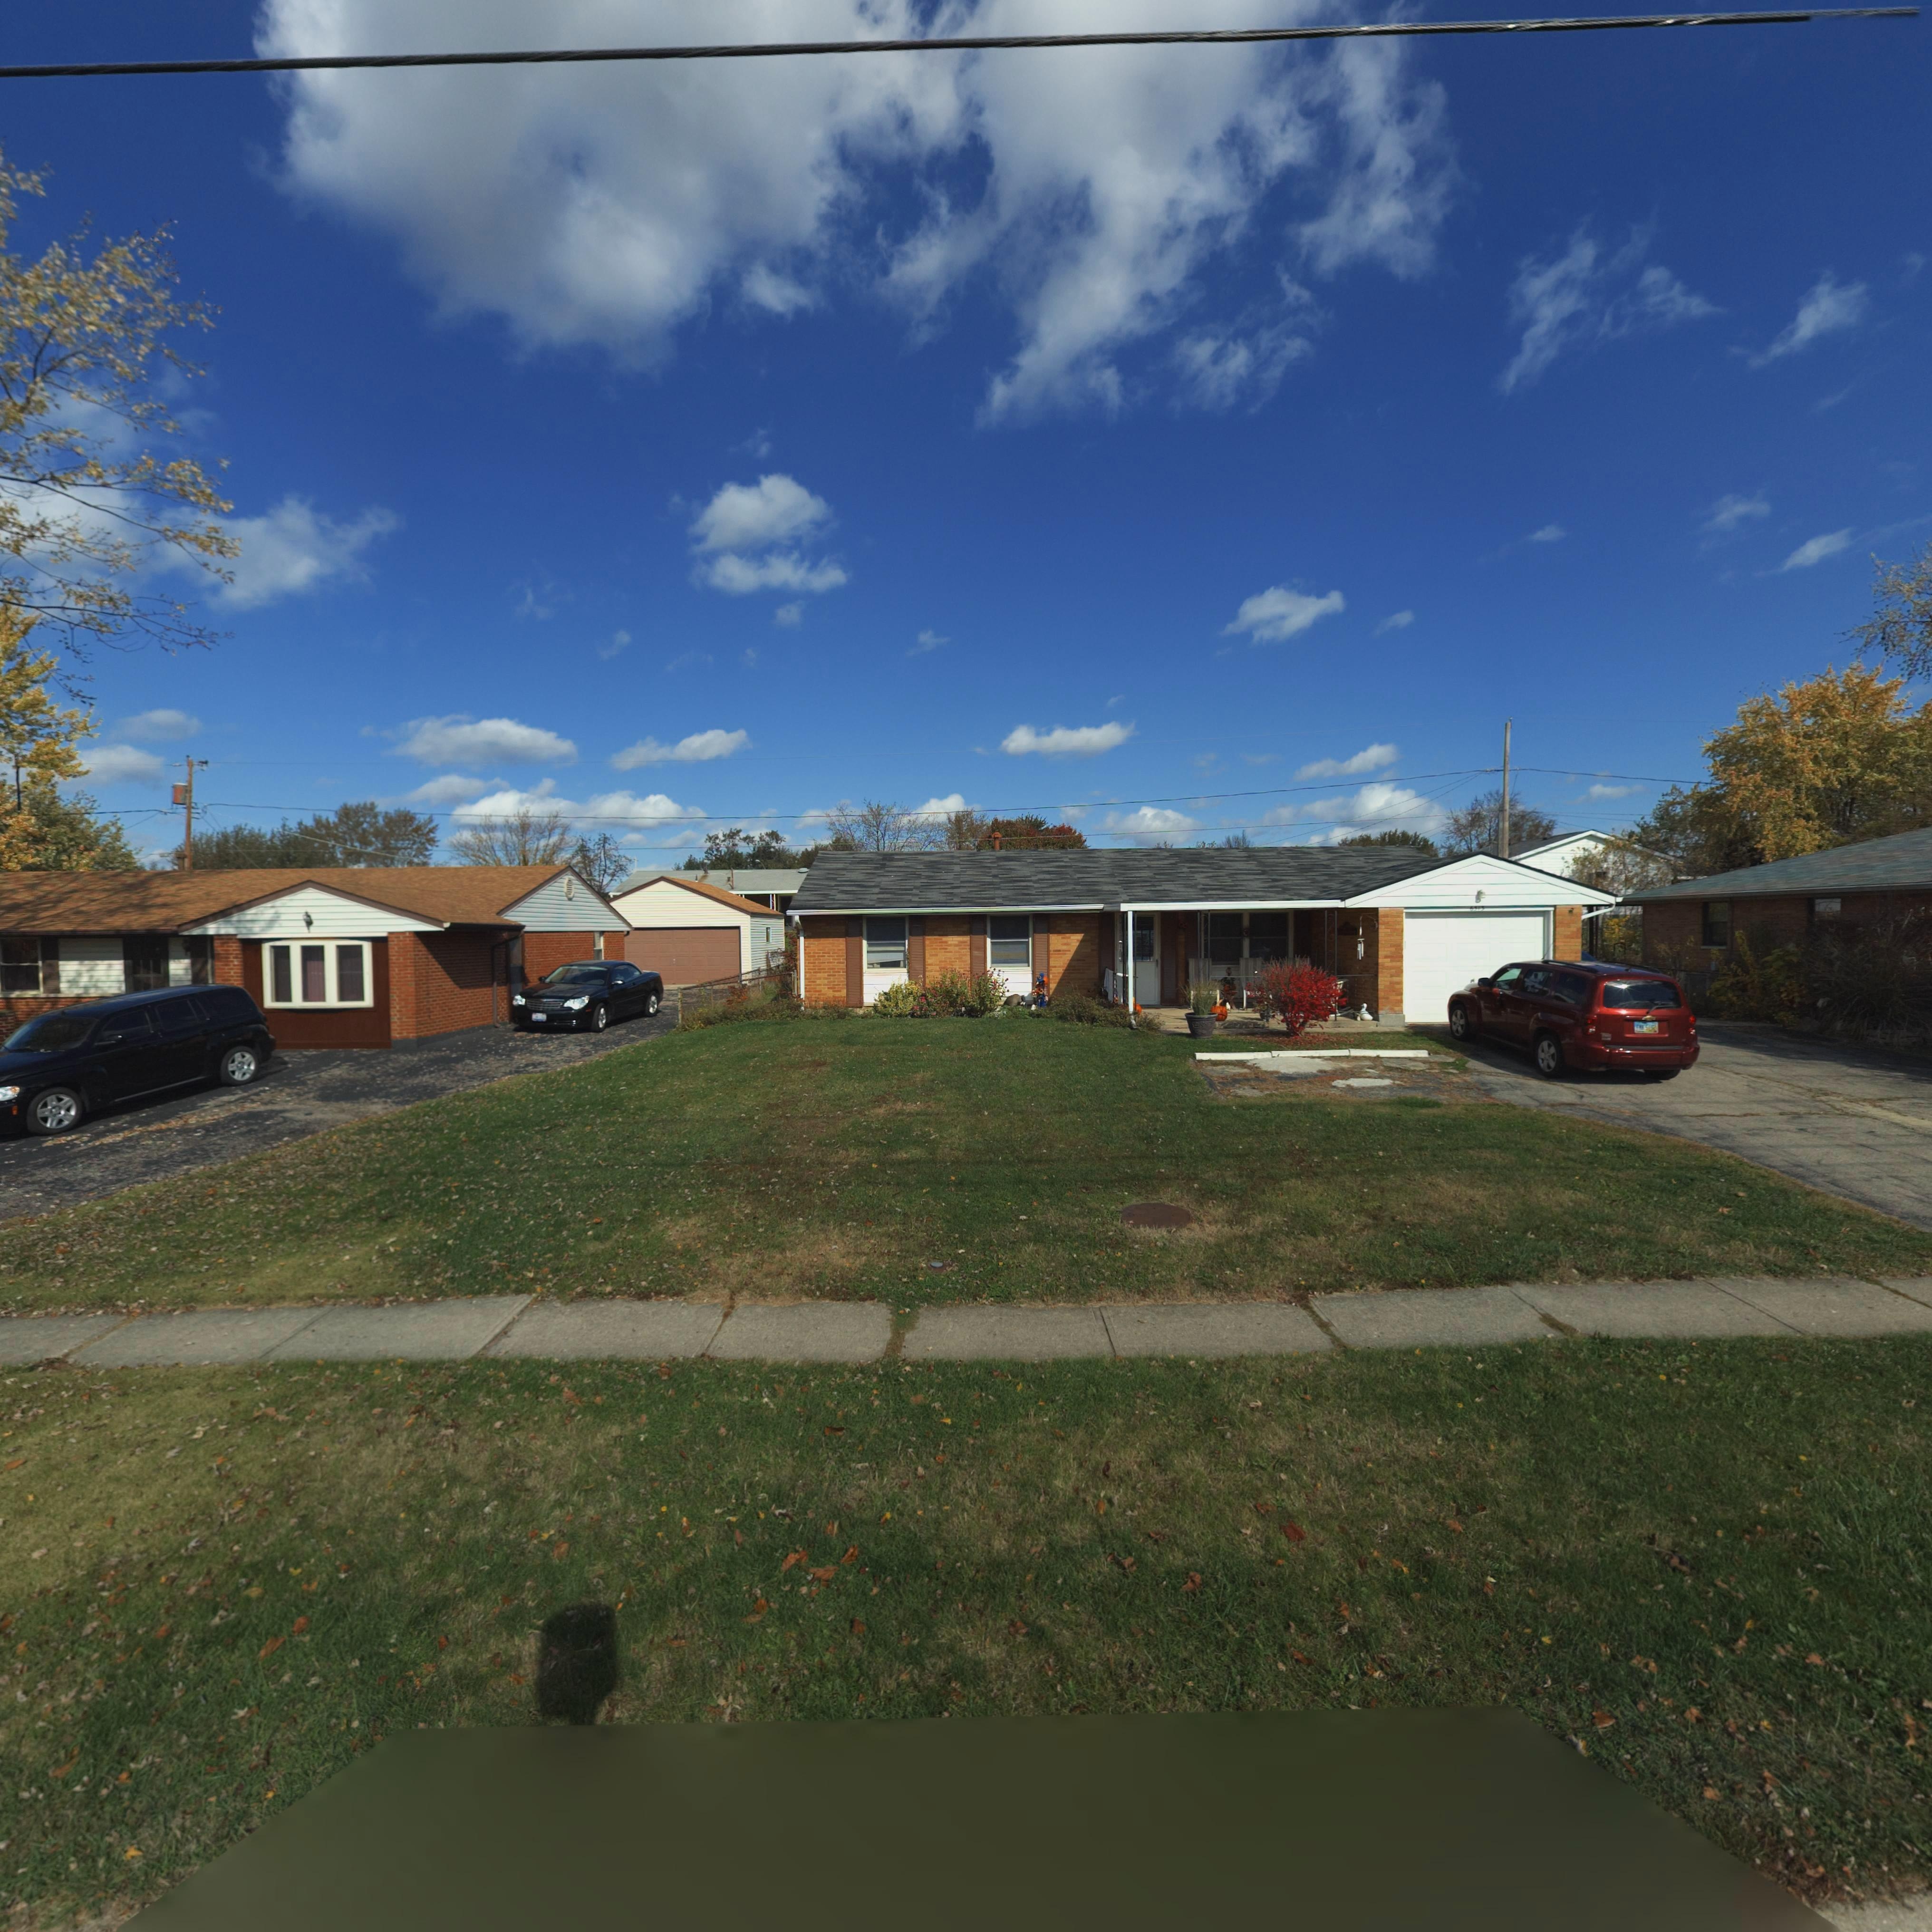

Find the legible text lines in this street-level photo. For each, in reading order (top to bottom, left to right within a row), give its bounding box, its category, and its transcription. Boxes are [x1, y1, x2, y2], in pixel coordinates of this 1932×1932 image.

[1469, 906, 1485, 911] StreetNumber: 6513